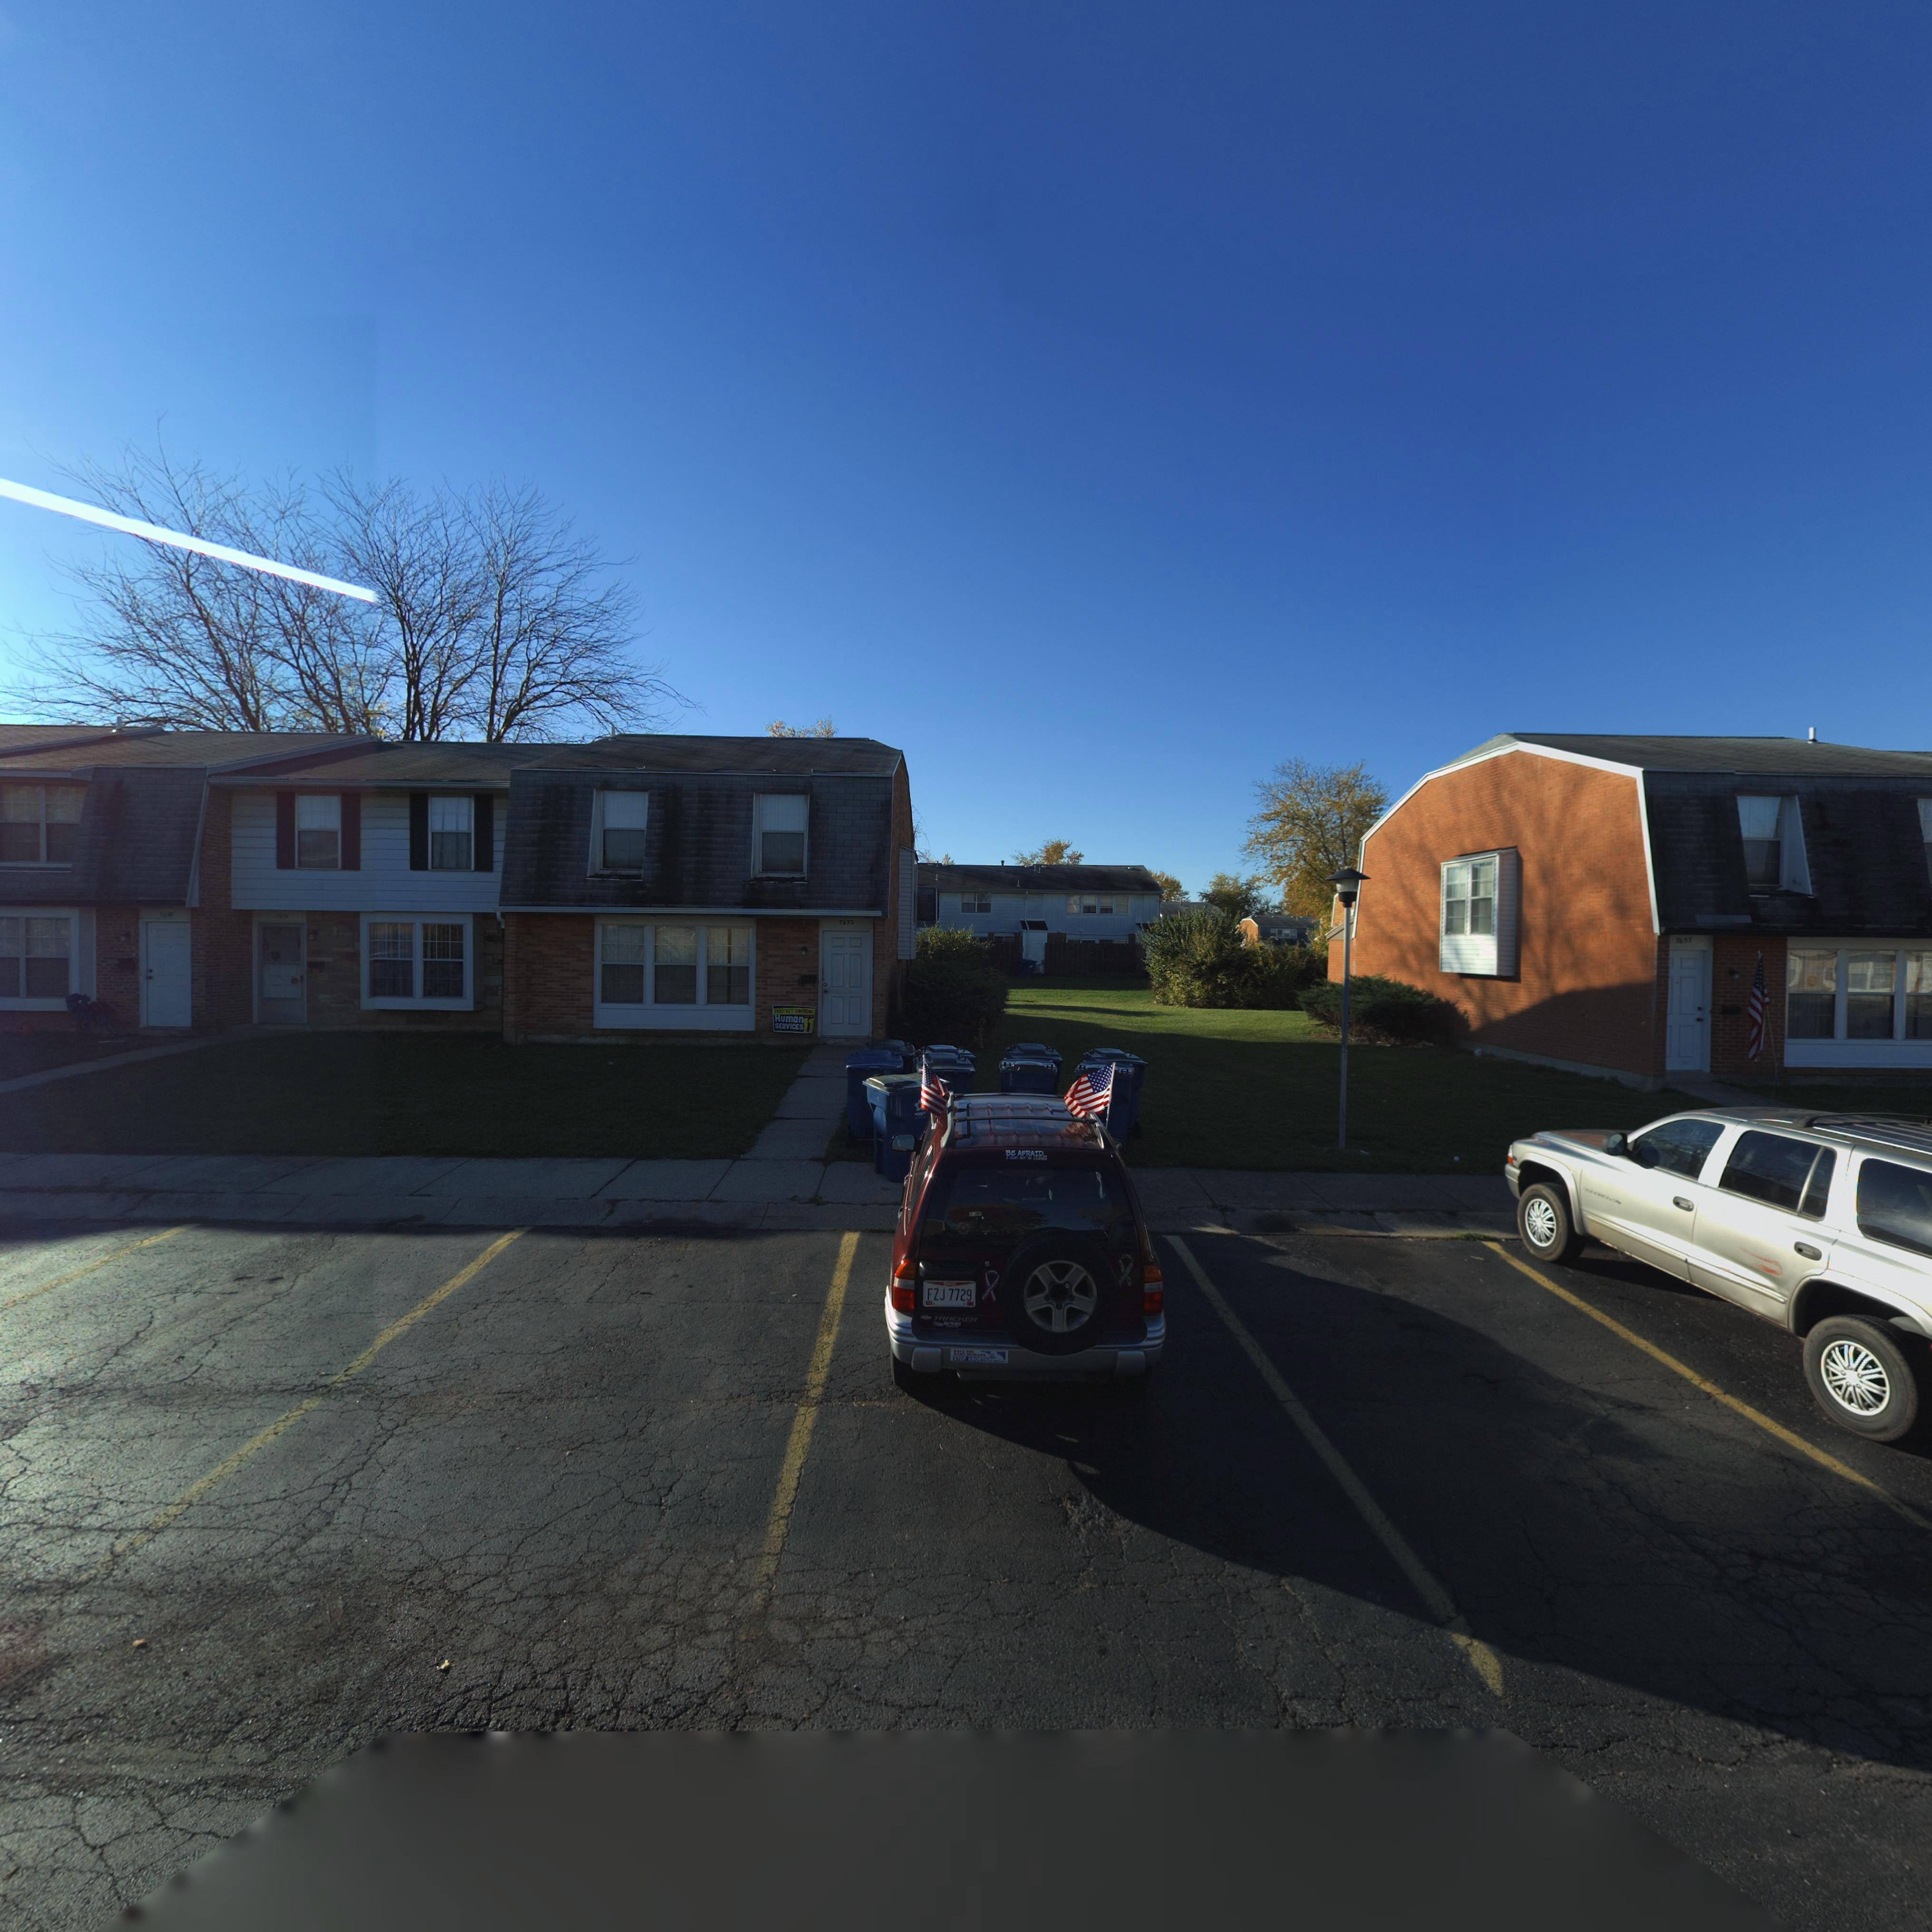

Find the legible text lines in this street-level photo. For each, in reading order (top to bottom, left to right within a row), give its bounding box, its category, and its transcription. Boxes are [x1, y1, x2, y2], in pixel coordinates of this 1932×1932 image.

[158, 911, 174, 918] StreetNumber: 76**
[274, 913, 289, 919] StreetNumber: 76**
[839, 919, 854, 925] StreetNumber: 7653
[1674, 936, 1694, 945] StreetNumber: 7657